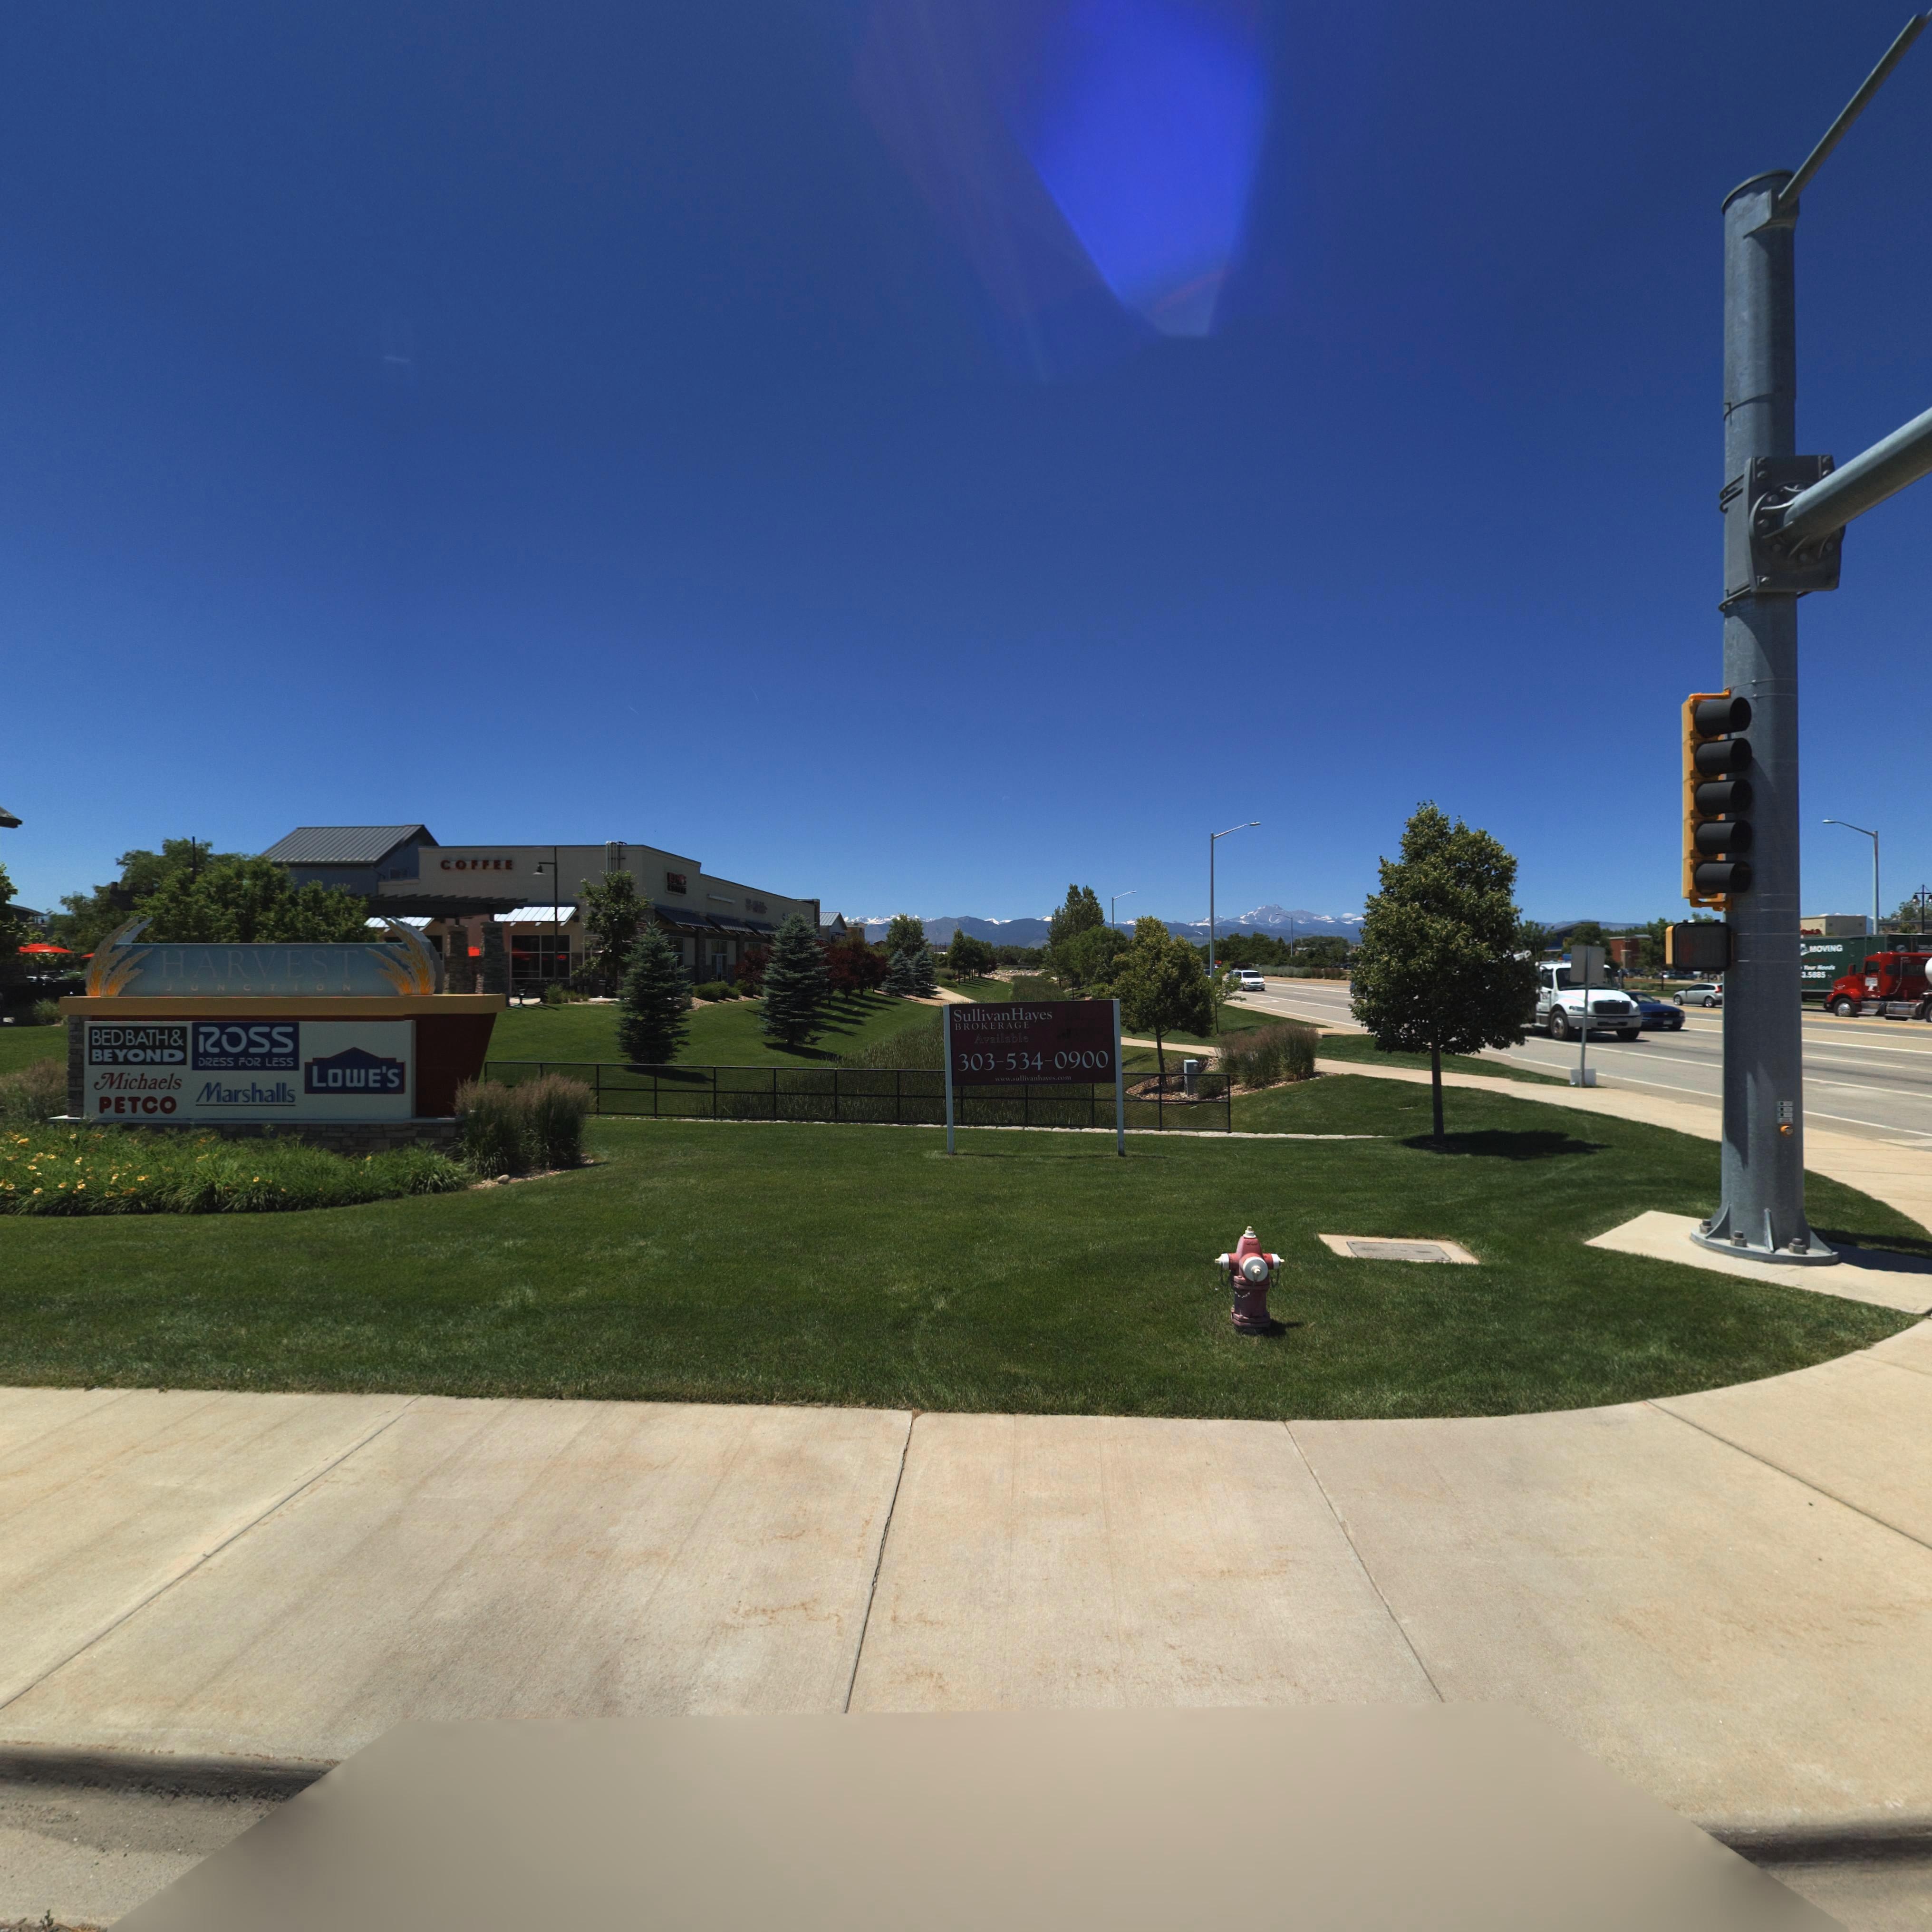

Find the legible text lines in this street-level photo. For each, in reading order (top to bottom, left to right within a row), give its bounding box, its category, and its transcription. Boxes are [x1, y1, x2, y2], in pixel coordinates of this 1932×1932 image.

[439, 859, 512, 870] BusinessName: COFFEE
[668, 871, 687, 886] BusinessName: RE*****
[667, 883, 687, 894] BusinessName: COFFEE
[745, 898, 767, 914] BusinessName: T******
[91, 1028, 184, 1046] BusinessName: BEDBATH&
[91, 1048, 185, 1062] BusinessName: BEYOND
[198, 1057, 295, 1066] BusinessName: DRESS FOR LESS
[958, 1051, 1108, 1071] PhoneNumber: 303-534-0900
[92, 1072, 184, 1091] BusinessName: Michaels
[311, 1063, 401, 1088] BusinessName: LOWE'S
[194, 1080, 297, 1104] BusinessName: Marshalls
[98, 1095, 177, 1114] BusinessName: PETCO